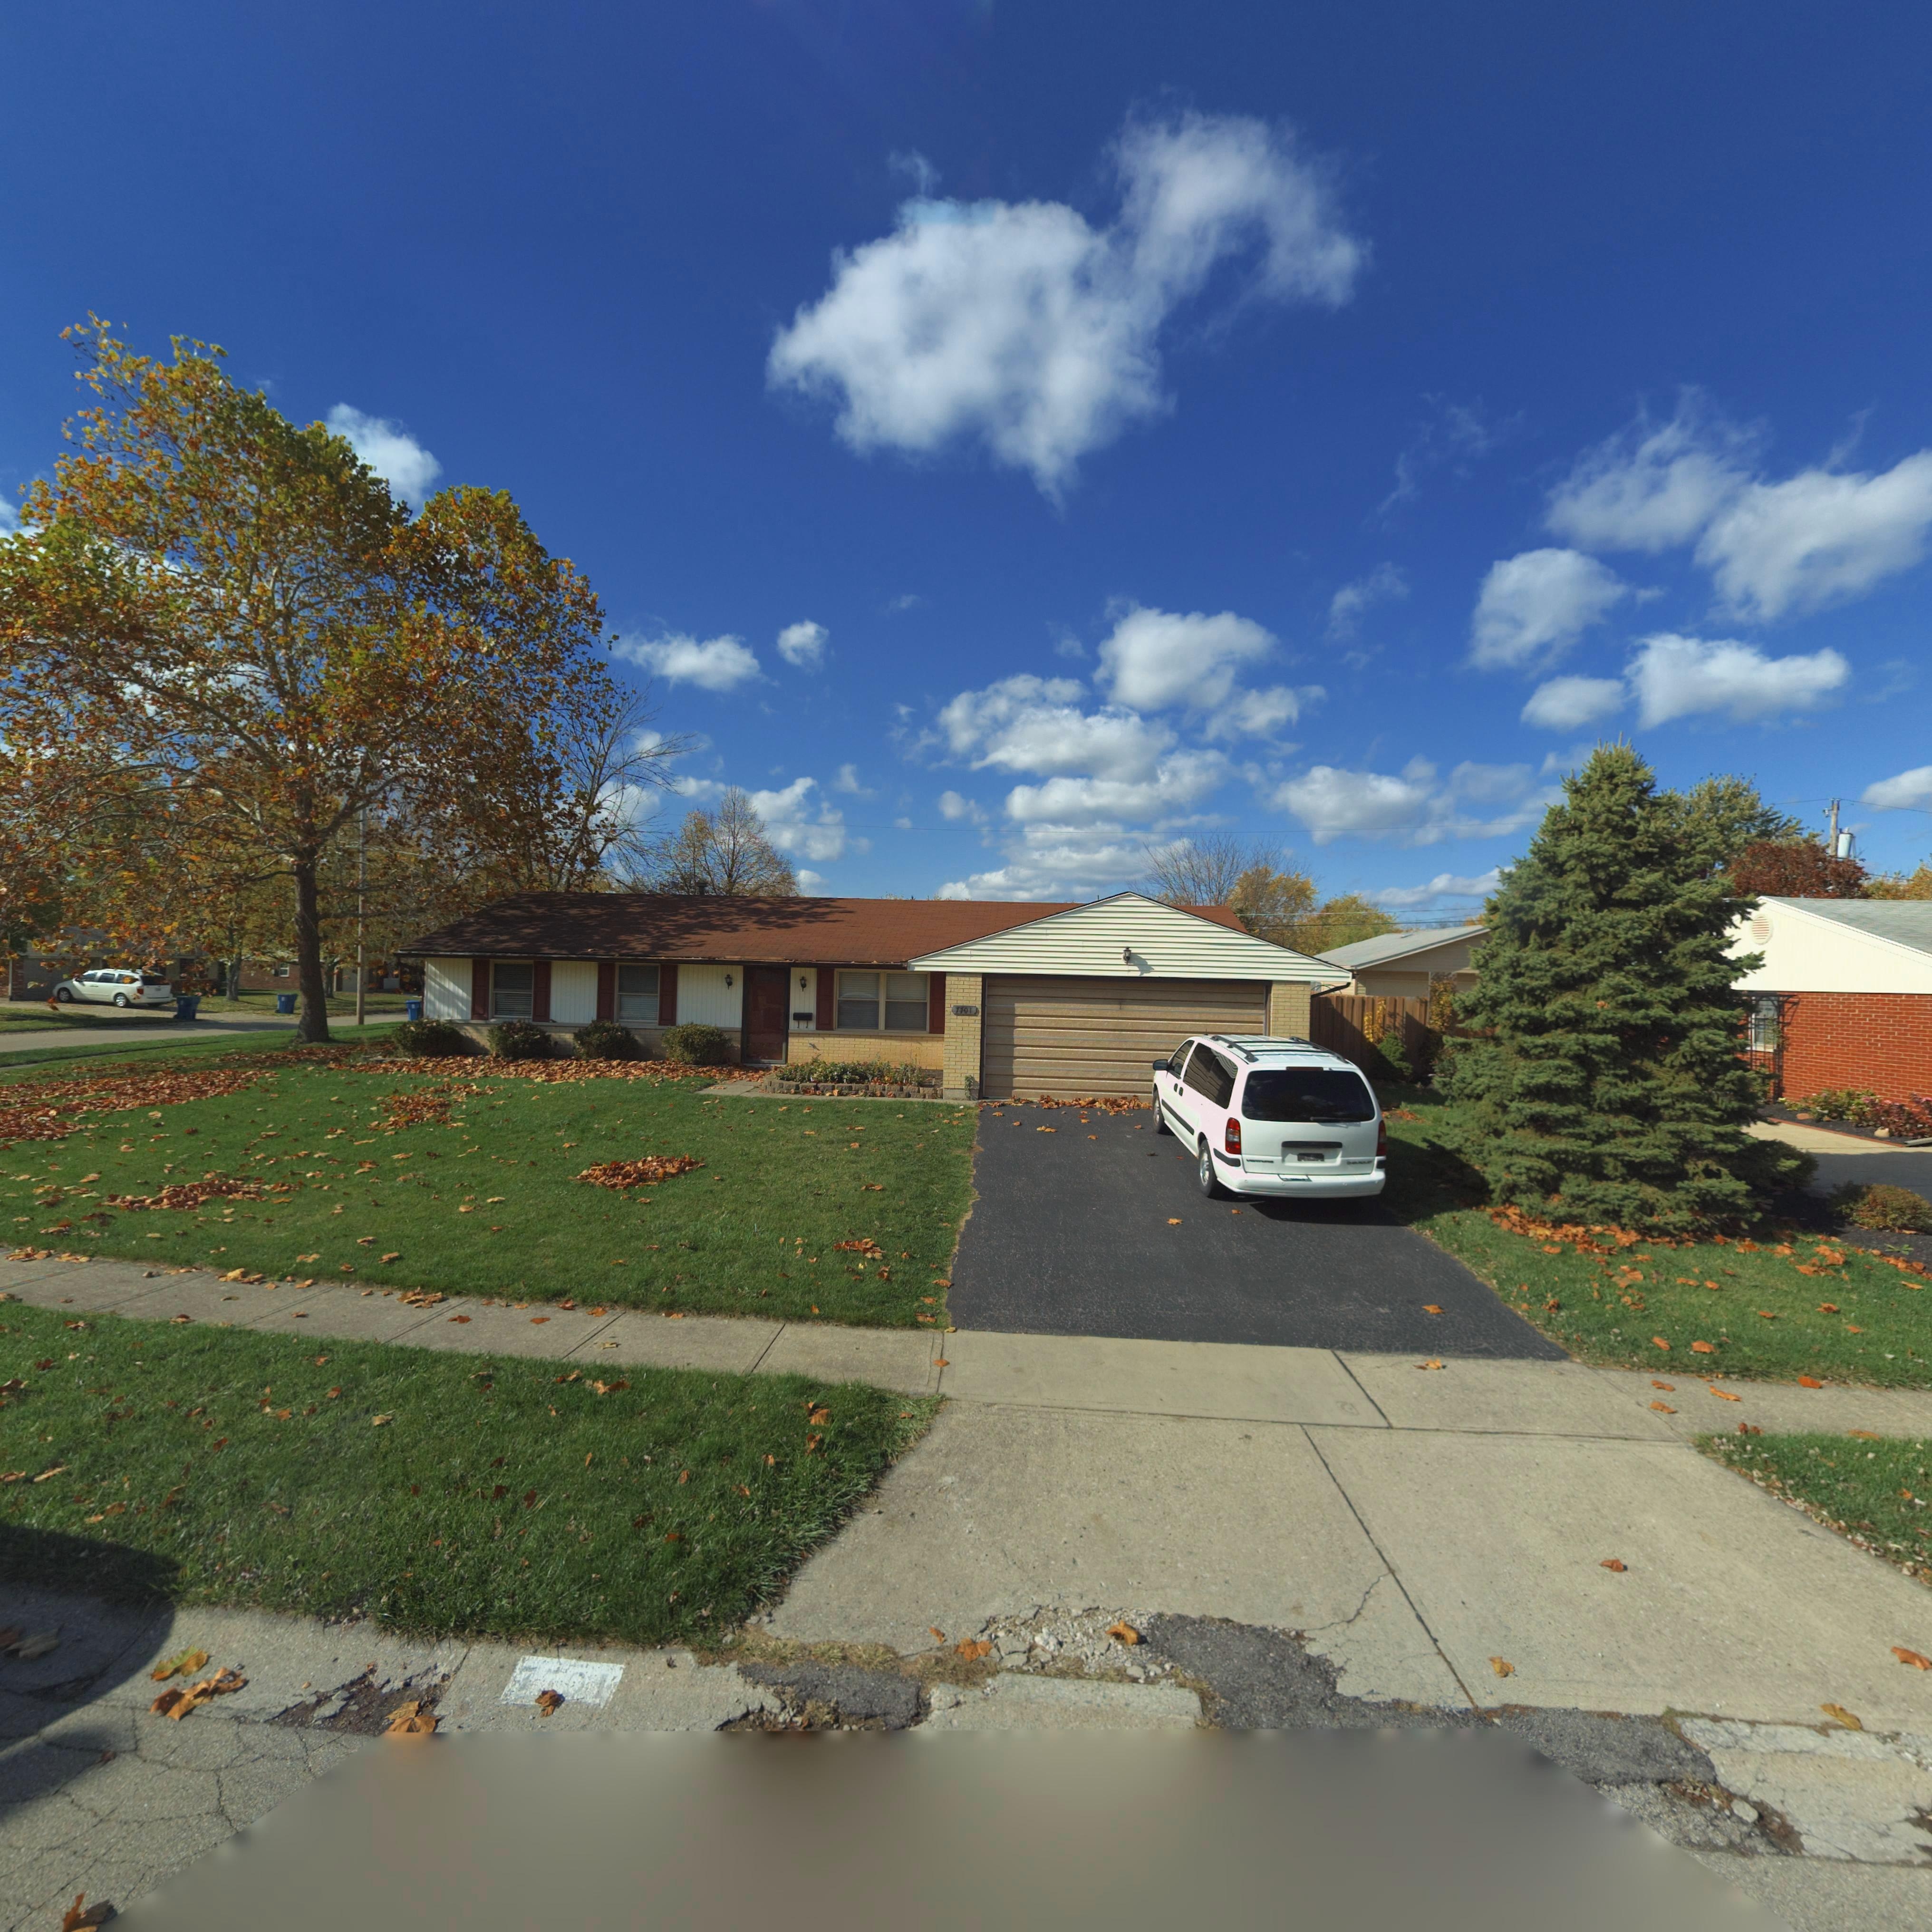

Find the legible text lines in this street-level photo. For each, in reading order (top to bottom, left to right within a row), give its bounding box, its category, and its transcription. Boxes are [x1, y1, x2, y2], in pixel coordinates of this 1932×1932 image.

[956, 1007, 973, 1014] StreetNumber: 7701
[514, 1663, 612, 1700] StreetNumber: 7701